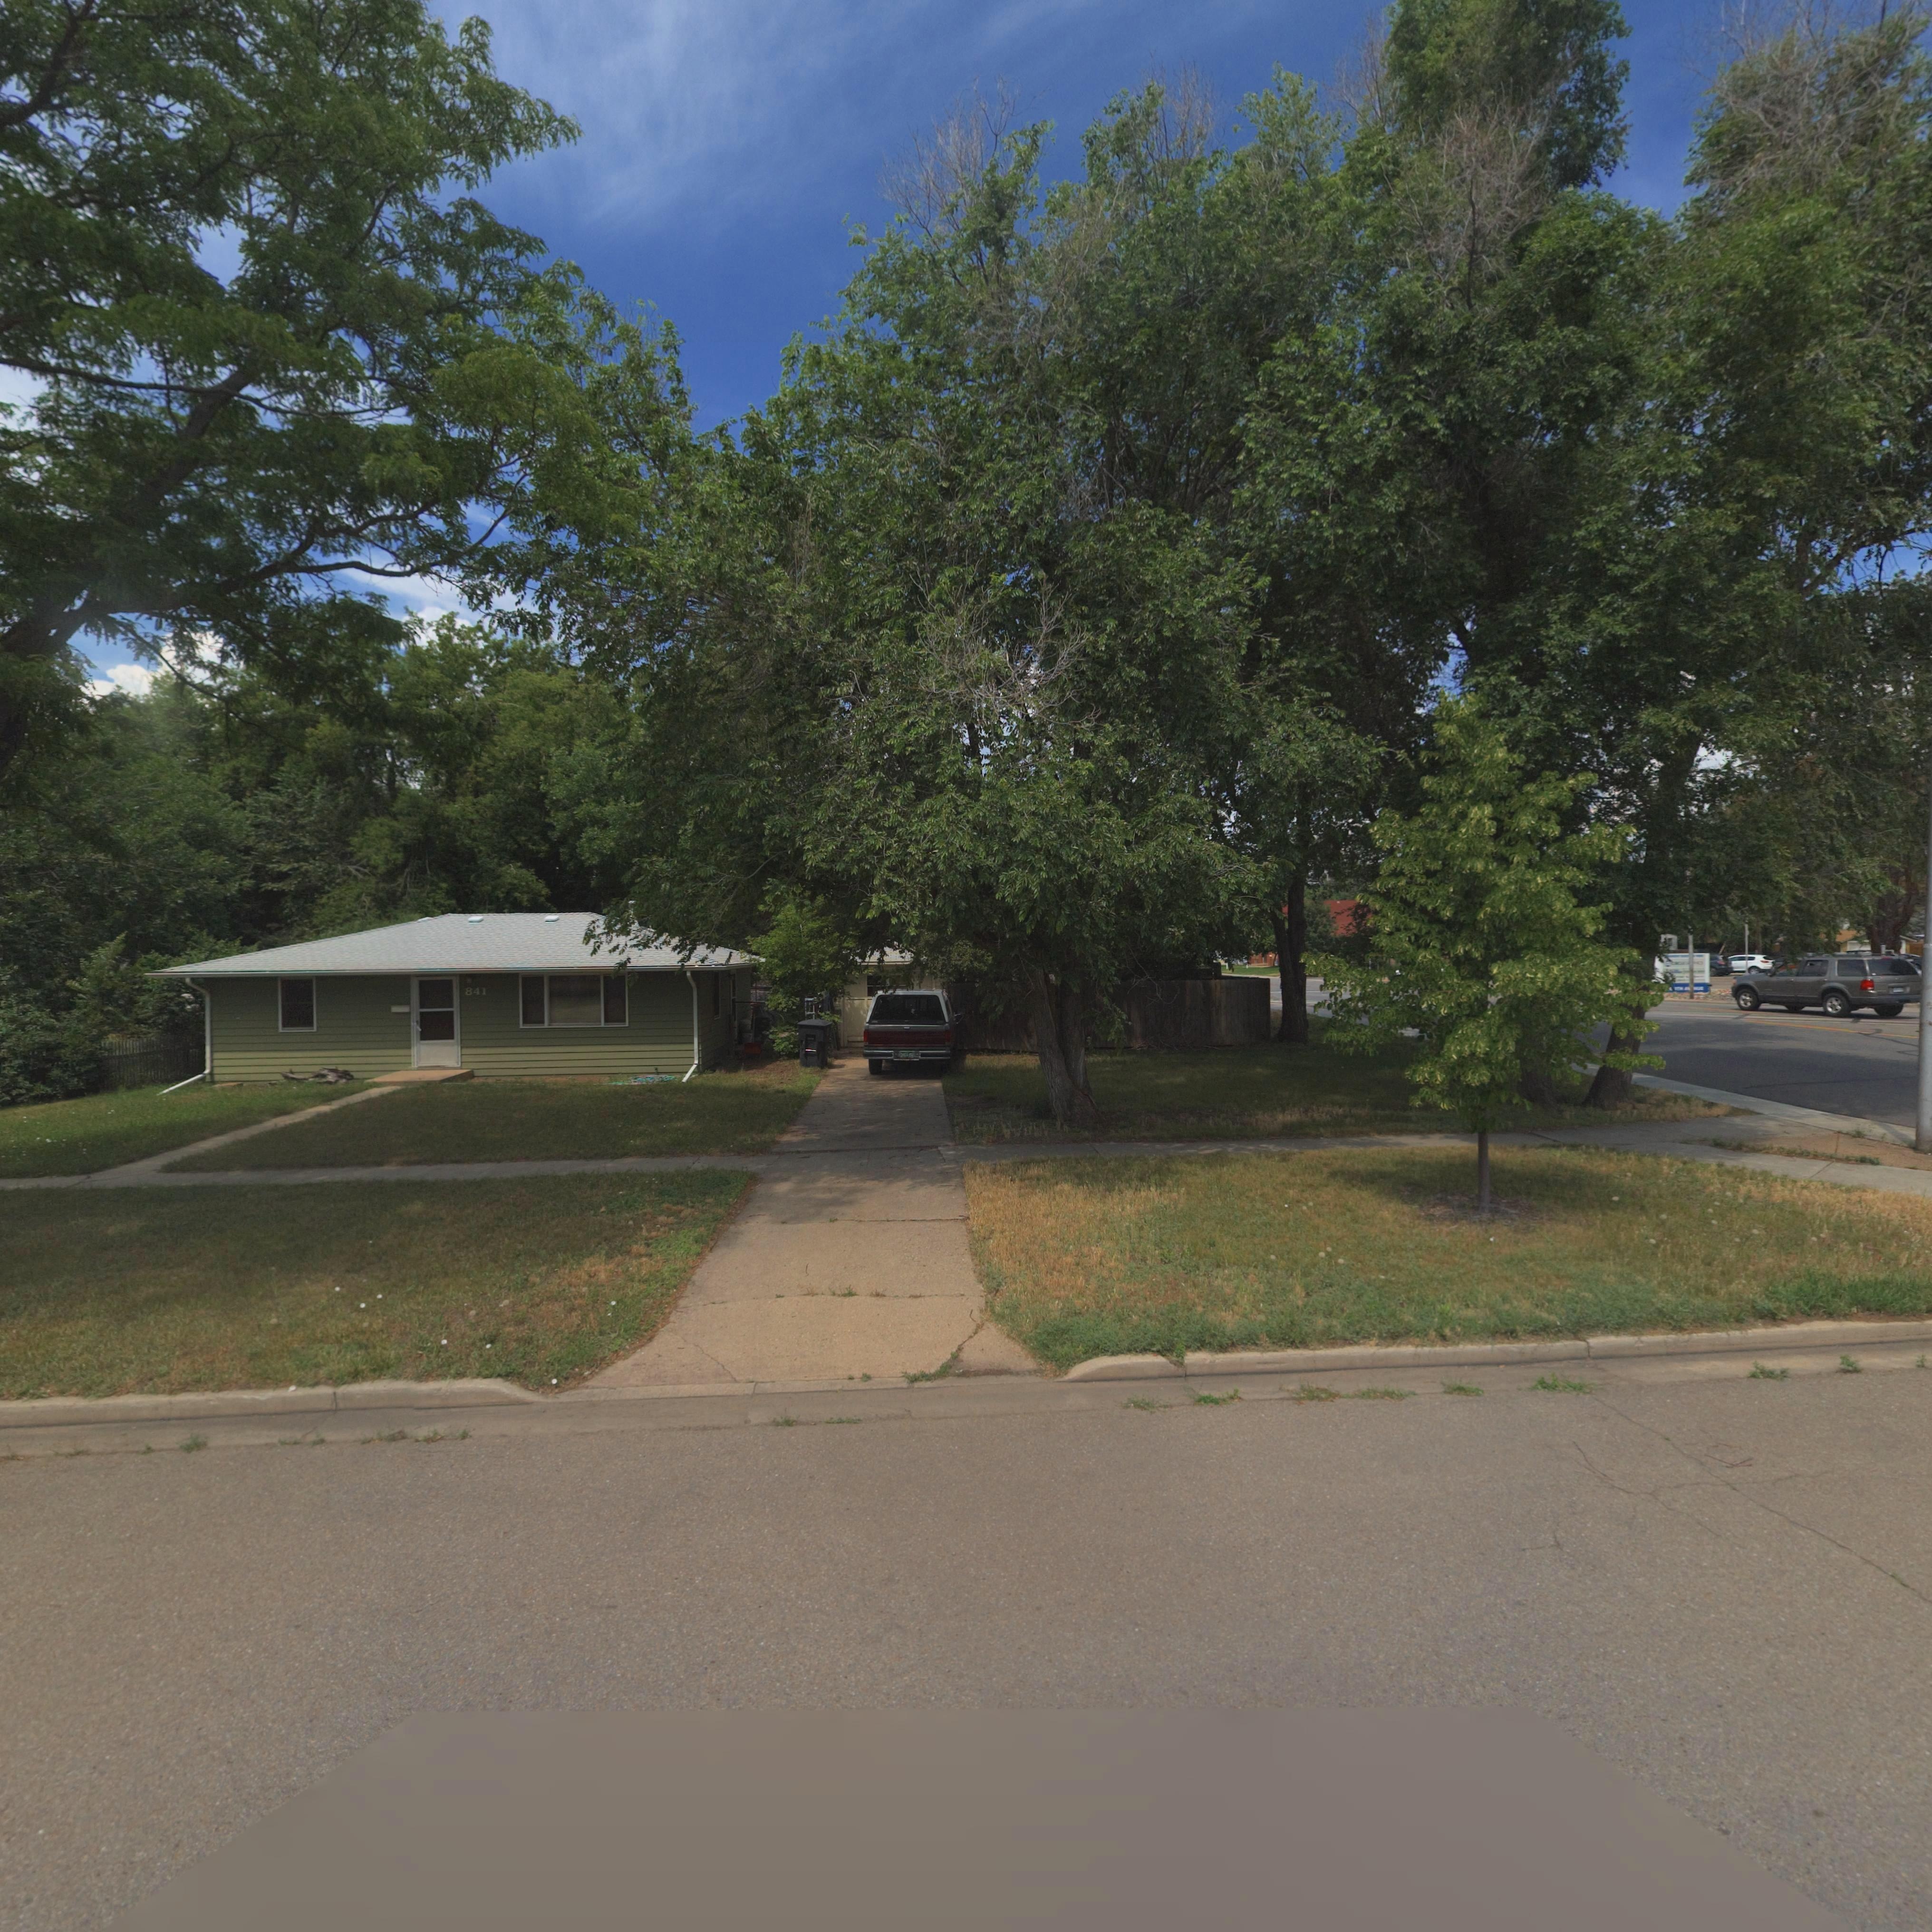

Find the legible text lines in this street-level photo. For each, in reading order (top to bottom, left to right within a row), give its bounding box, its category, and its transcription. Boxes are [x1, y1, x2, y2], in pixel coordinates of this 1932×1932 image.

[465, 986, 486, 995] StreetNumber: 841